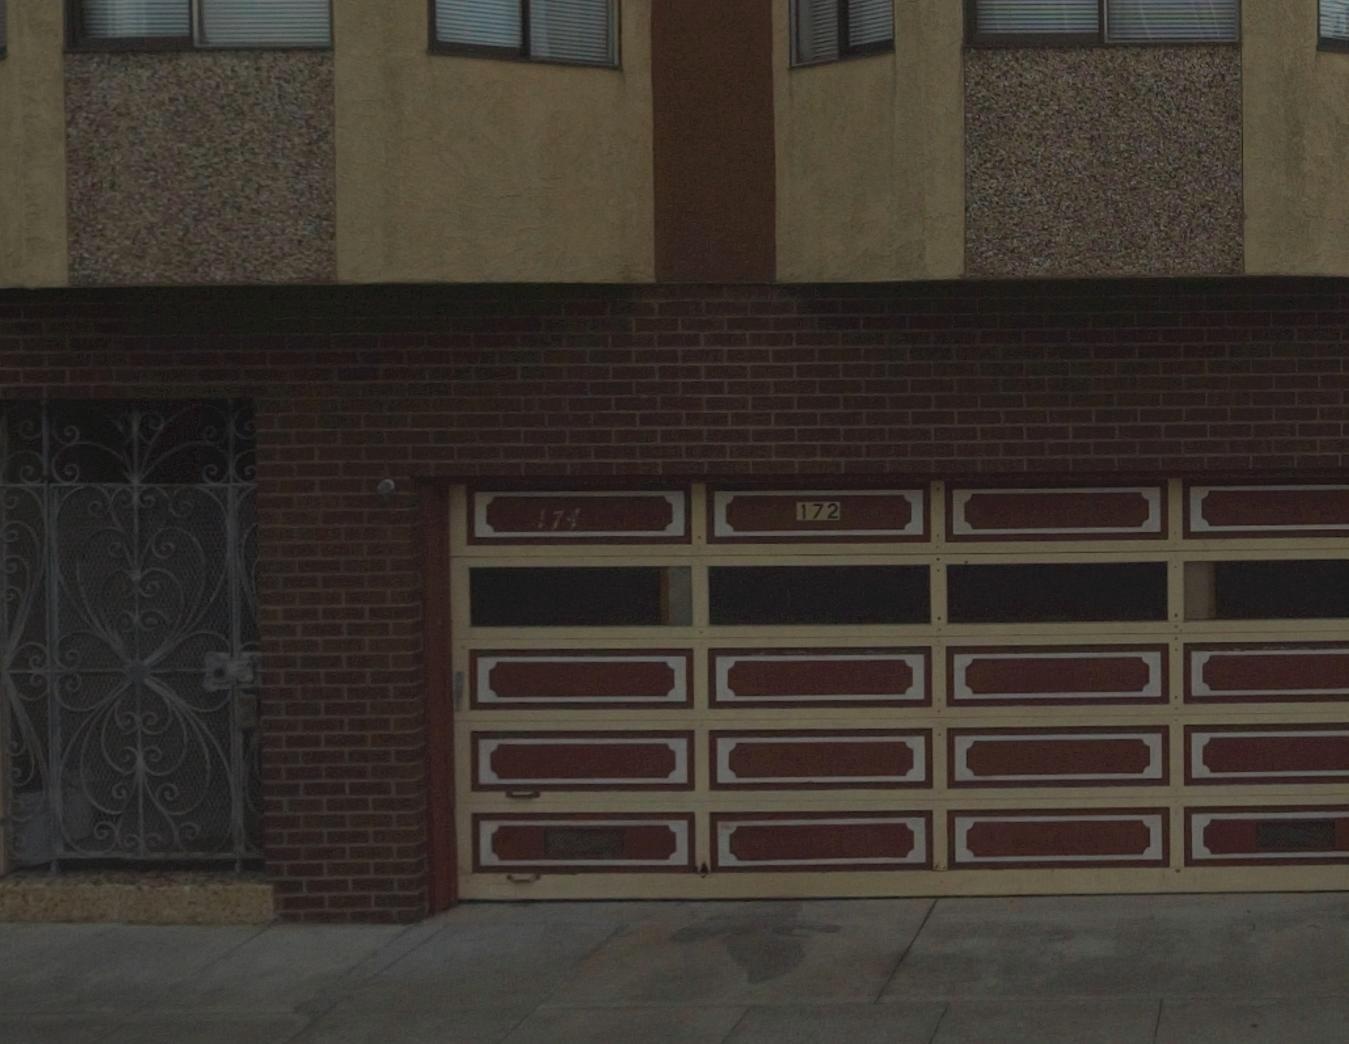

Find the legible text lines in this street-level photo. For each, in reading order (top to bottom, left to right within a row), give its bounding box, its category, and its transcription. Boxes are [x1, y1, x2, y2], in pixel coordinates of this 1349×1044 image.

[535, 506, 581, 531] StreetNumber: 174
[800, 502, 839, 520] StreetNumber: 172